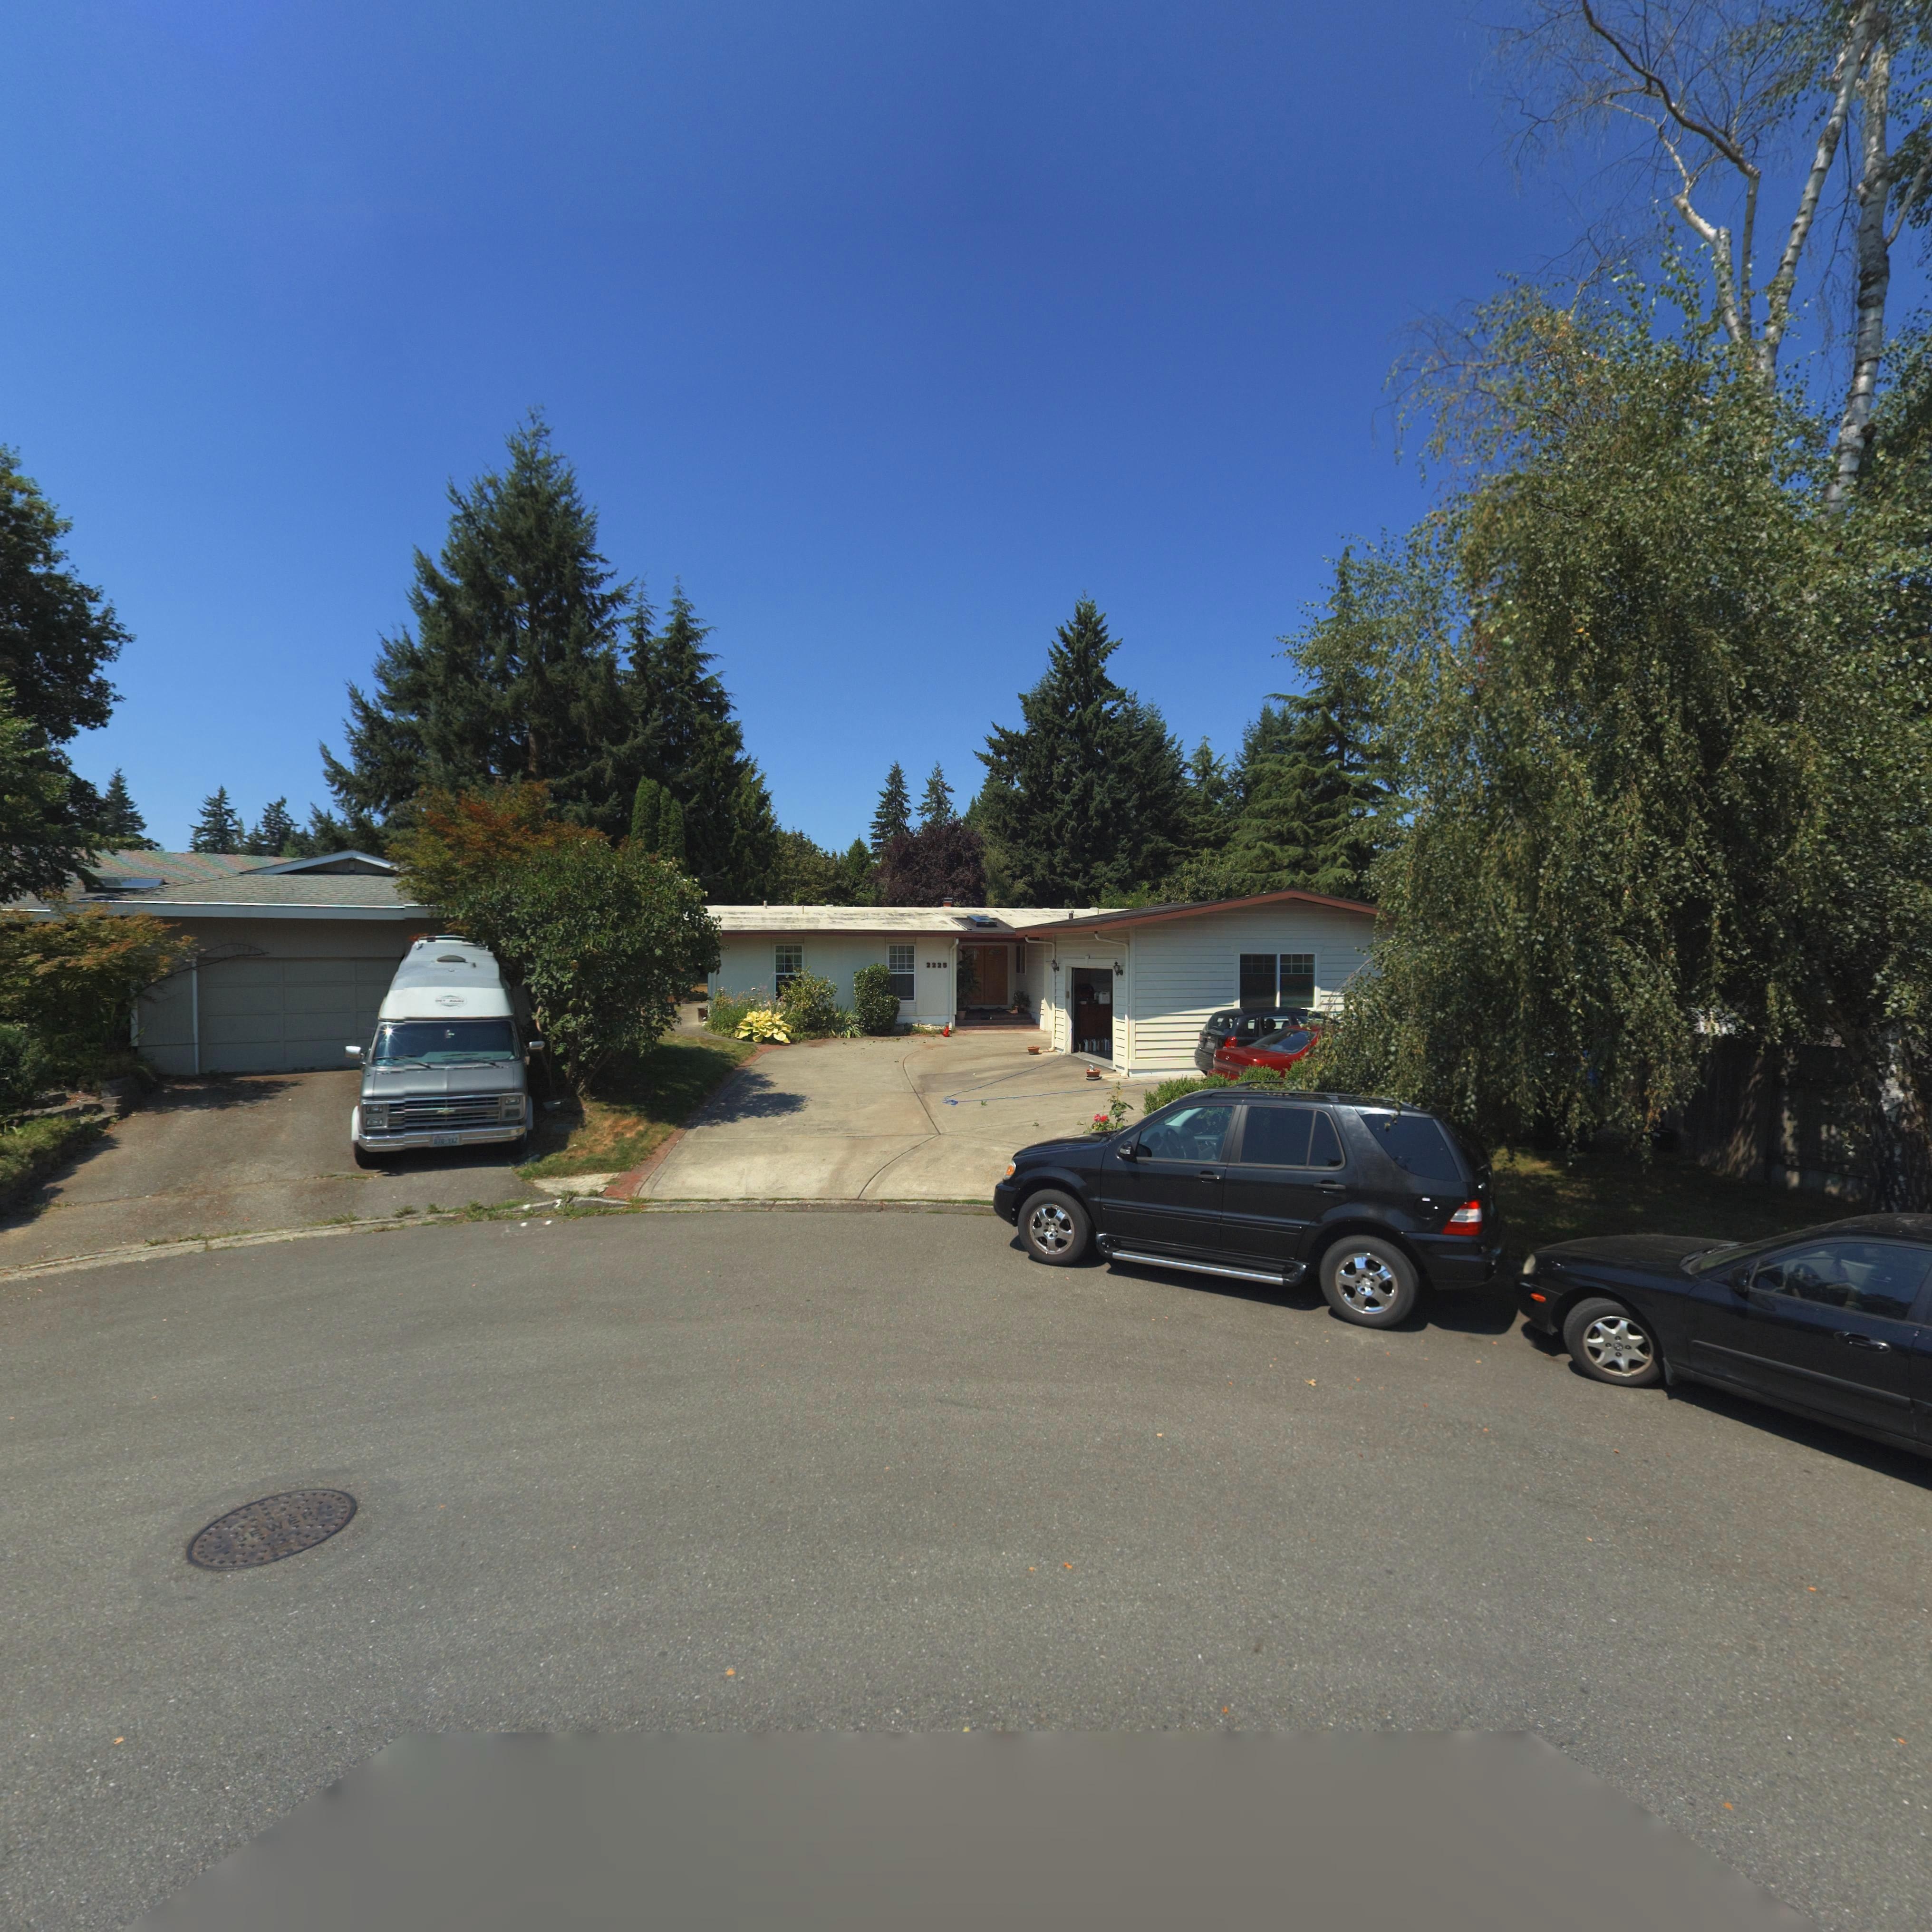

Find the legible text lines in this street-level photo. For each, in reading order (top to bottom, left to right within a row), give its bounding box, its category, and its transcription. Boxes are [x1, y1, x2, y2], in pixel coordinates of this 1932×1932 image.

[925, 960, 948, 969] StreetNumber: 2225